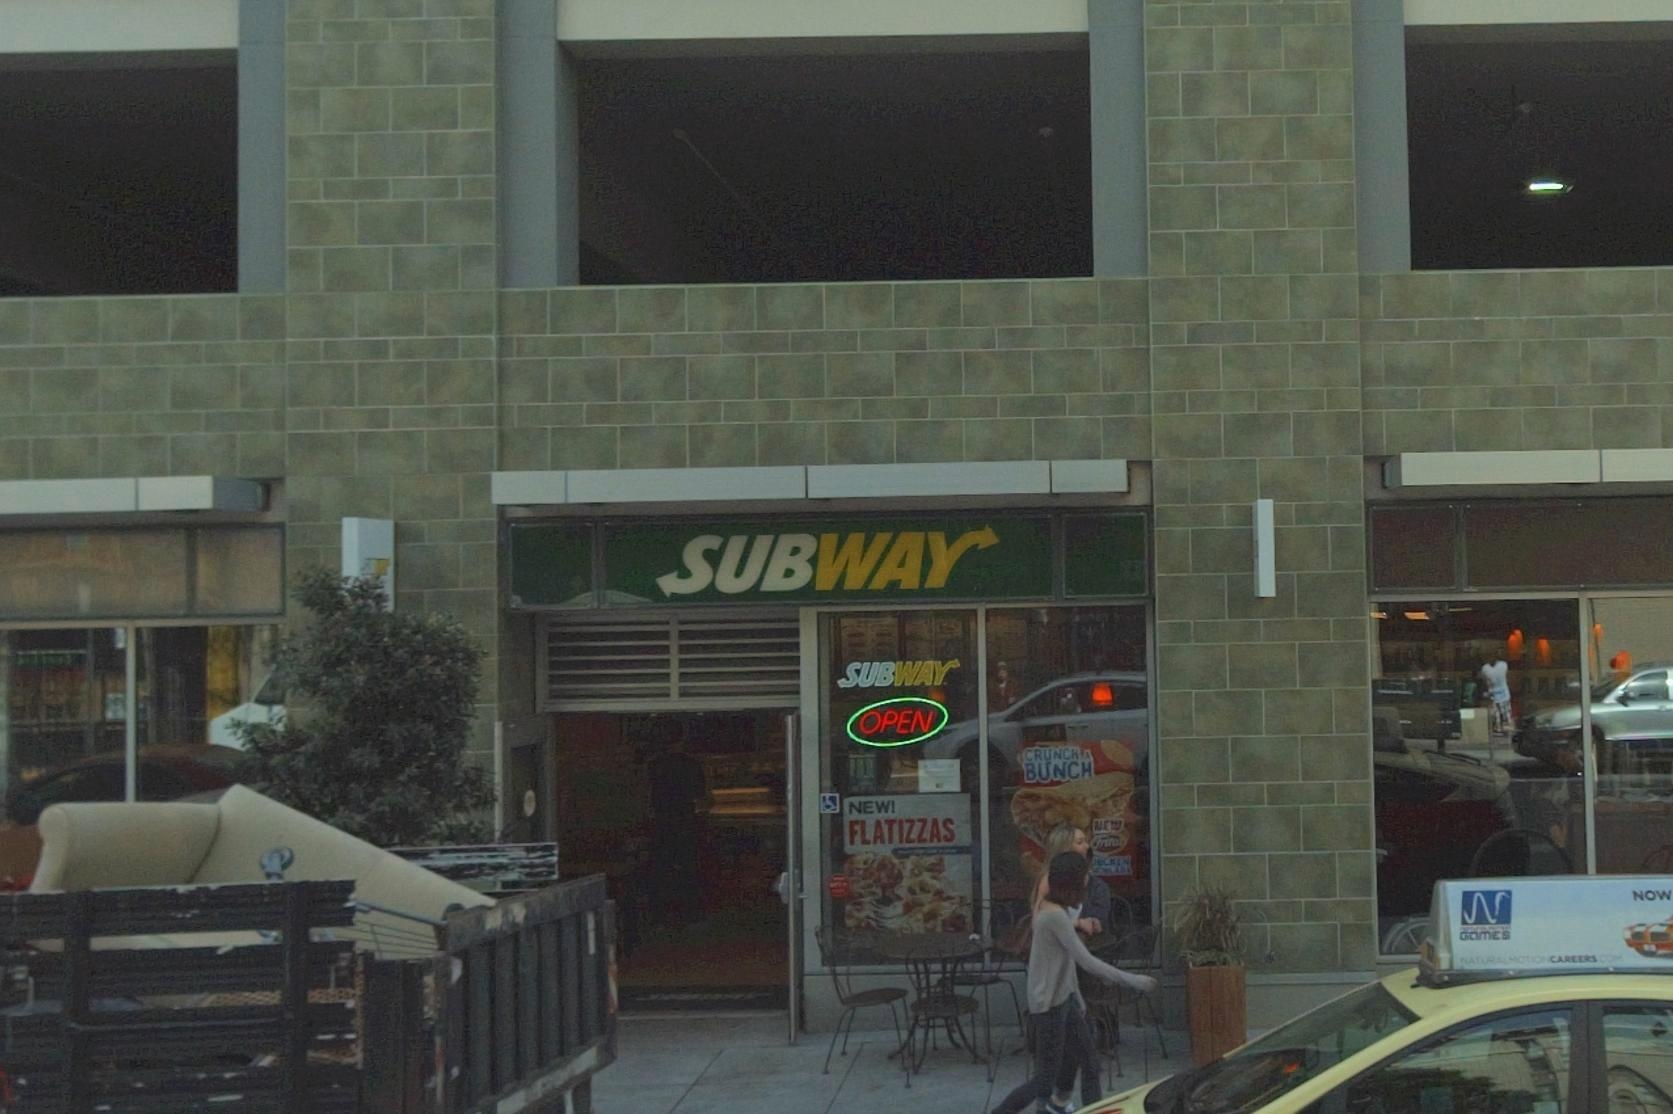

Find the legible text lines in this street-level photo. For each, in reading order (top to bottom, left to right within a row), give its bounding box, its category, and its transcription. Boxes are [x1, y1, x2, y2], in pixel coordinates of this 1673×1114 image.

[651, 521, 1003, 601] BusinessName: SUBWAY
[833, 656, 963, 691] BusinessName: SUBWAY
[855, 707, 938, 737] None: OPEN
[1021, 745, 1081, 764] None: CRUNCH
[1024, 758, 1094, 783] None: BUNCH
[847, 798, 898, 816] None: NEW!
[846, 815, 959, 848] None: FLATIZZAS
[1091, 818, 1124, 834] None: NEW
[1089, 833, 1125, 850] None: Fritos
[1093, 854, 1133, 868] None: *CKEN
[1629, 888, 1673, 903] None: NOW
[1463, 889, 1507, 925] None: N
[1455, 929, 1511, 941] None: GaMES
[1457, 952, 1626, 967] None: NATURALMOTIONCAREERS.COM